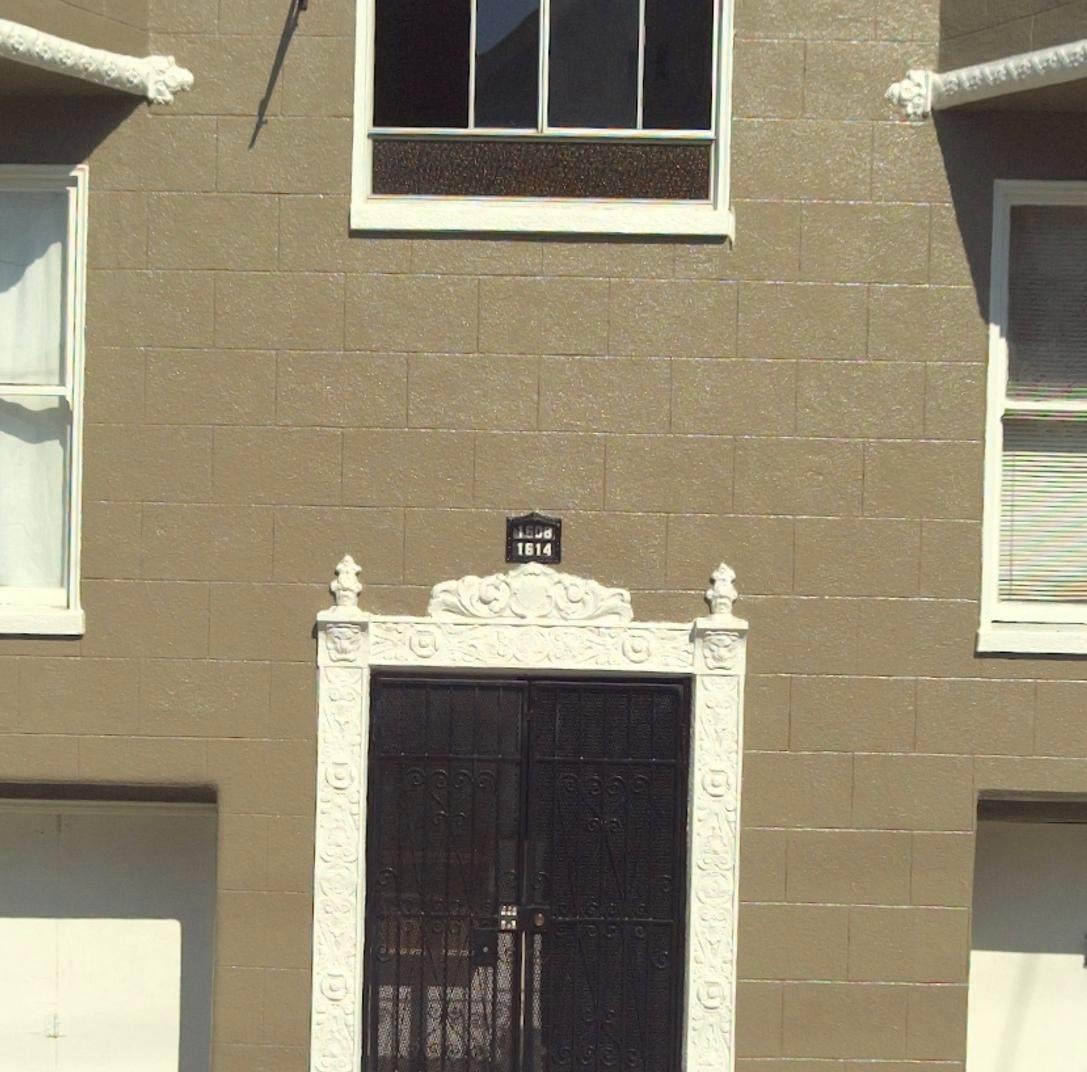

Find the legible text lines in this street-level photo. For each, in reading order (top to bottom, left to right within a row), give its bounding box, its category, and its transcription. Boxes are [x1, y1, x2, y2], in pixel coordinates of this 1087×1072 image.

[516, 524, 554, 541] StreetNumber: 1608
[515, 541, 553, 558] StreetNumber: 1614